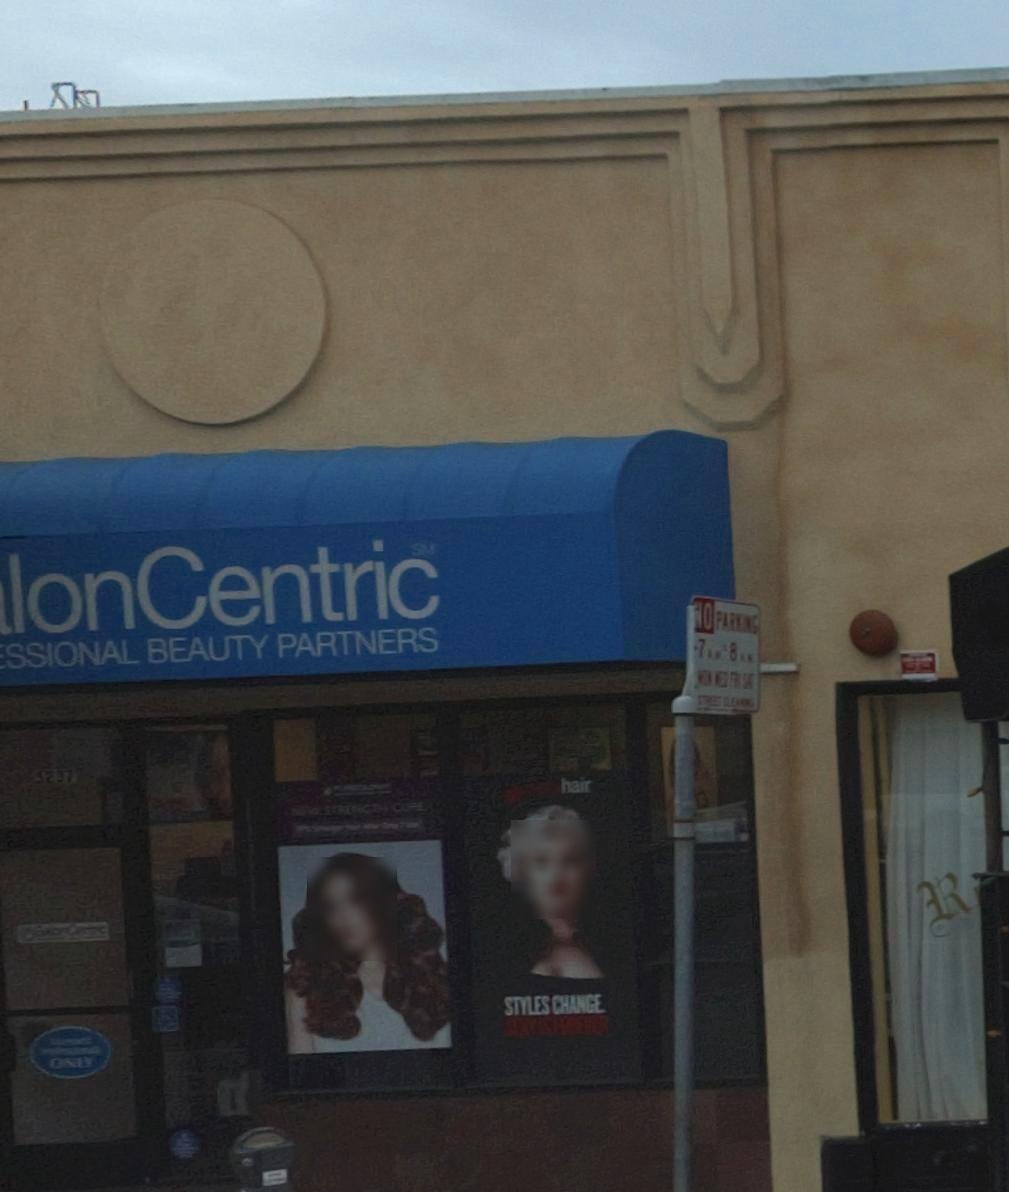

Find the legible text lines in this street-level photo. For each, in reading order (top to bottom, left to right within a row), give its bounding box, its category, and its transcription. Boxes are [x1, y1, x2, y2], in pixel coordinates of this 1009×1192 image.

[3, 540, 445, 640] BusinessName: lon Centric
[702, 599, 738, 636] None: O PAR
[4, 624, 444, 673] None: SSIONAL BEAUTY PARTNERS
[697, 636, 708, 660] None: 7
[727, 639, 740, 665] None: 8
[31, 766, 75, 786] StreetNumber: 5237
[558, 773, 595, 797] None: hair
[912, 867, 978, 933] None: R
[501, 990, 609, 1018] None: STYLES CHANGE
[46, 1052, 98, 1073] None: O**Y